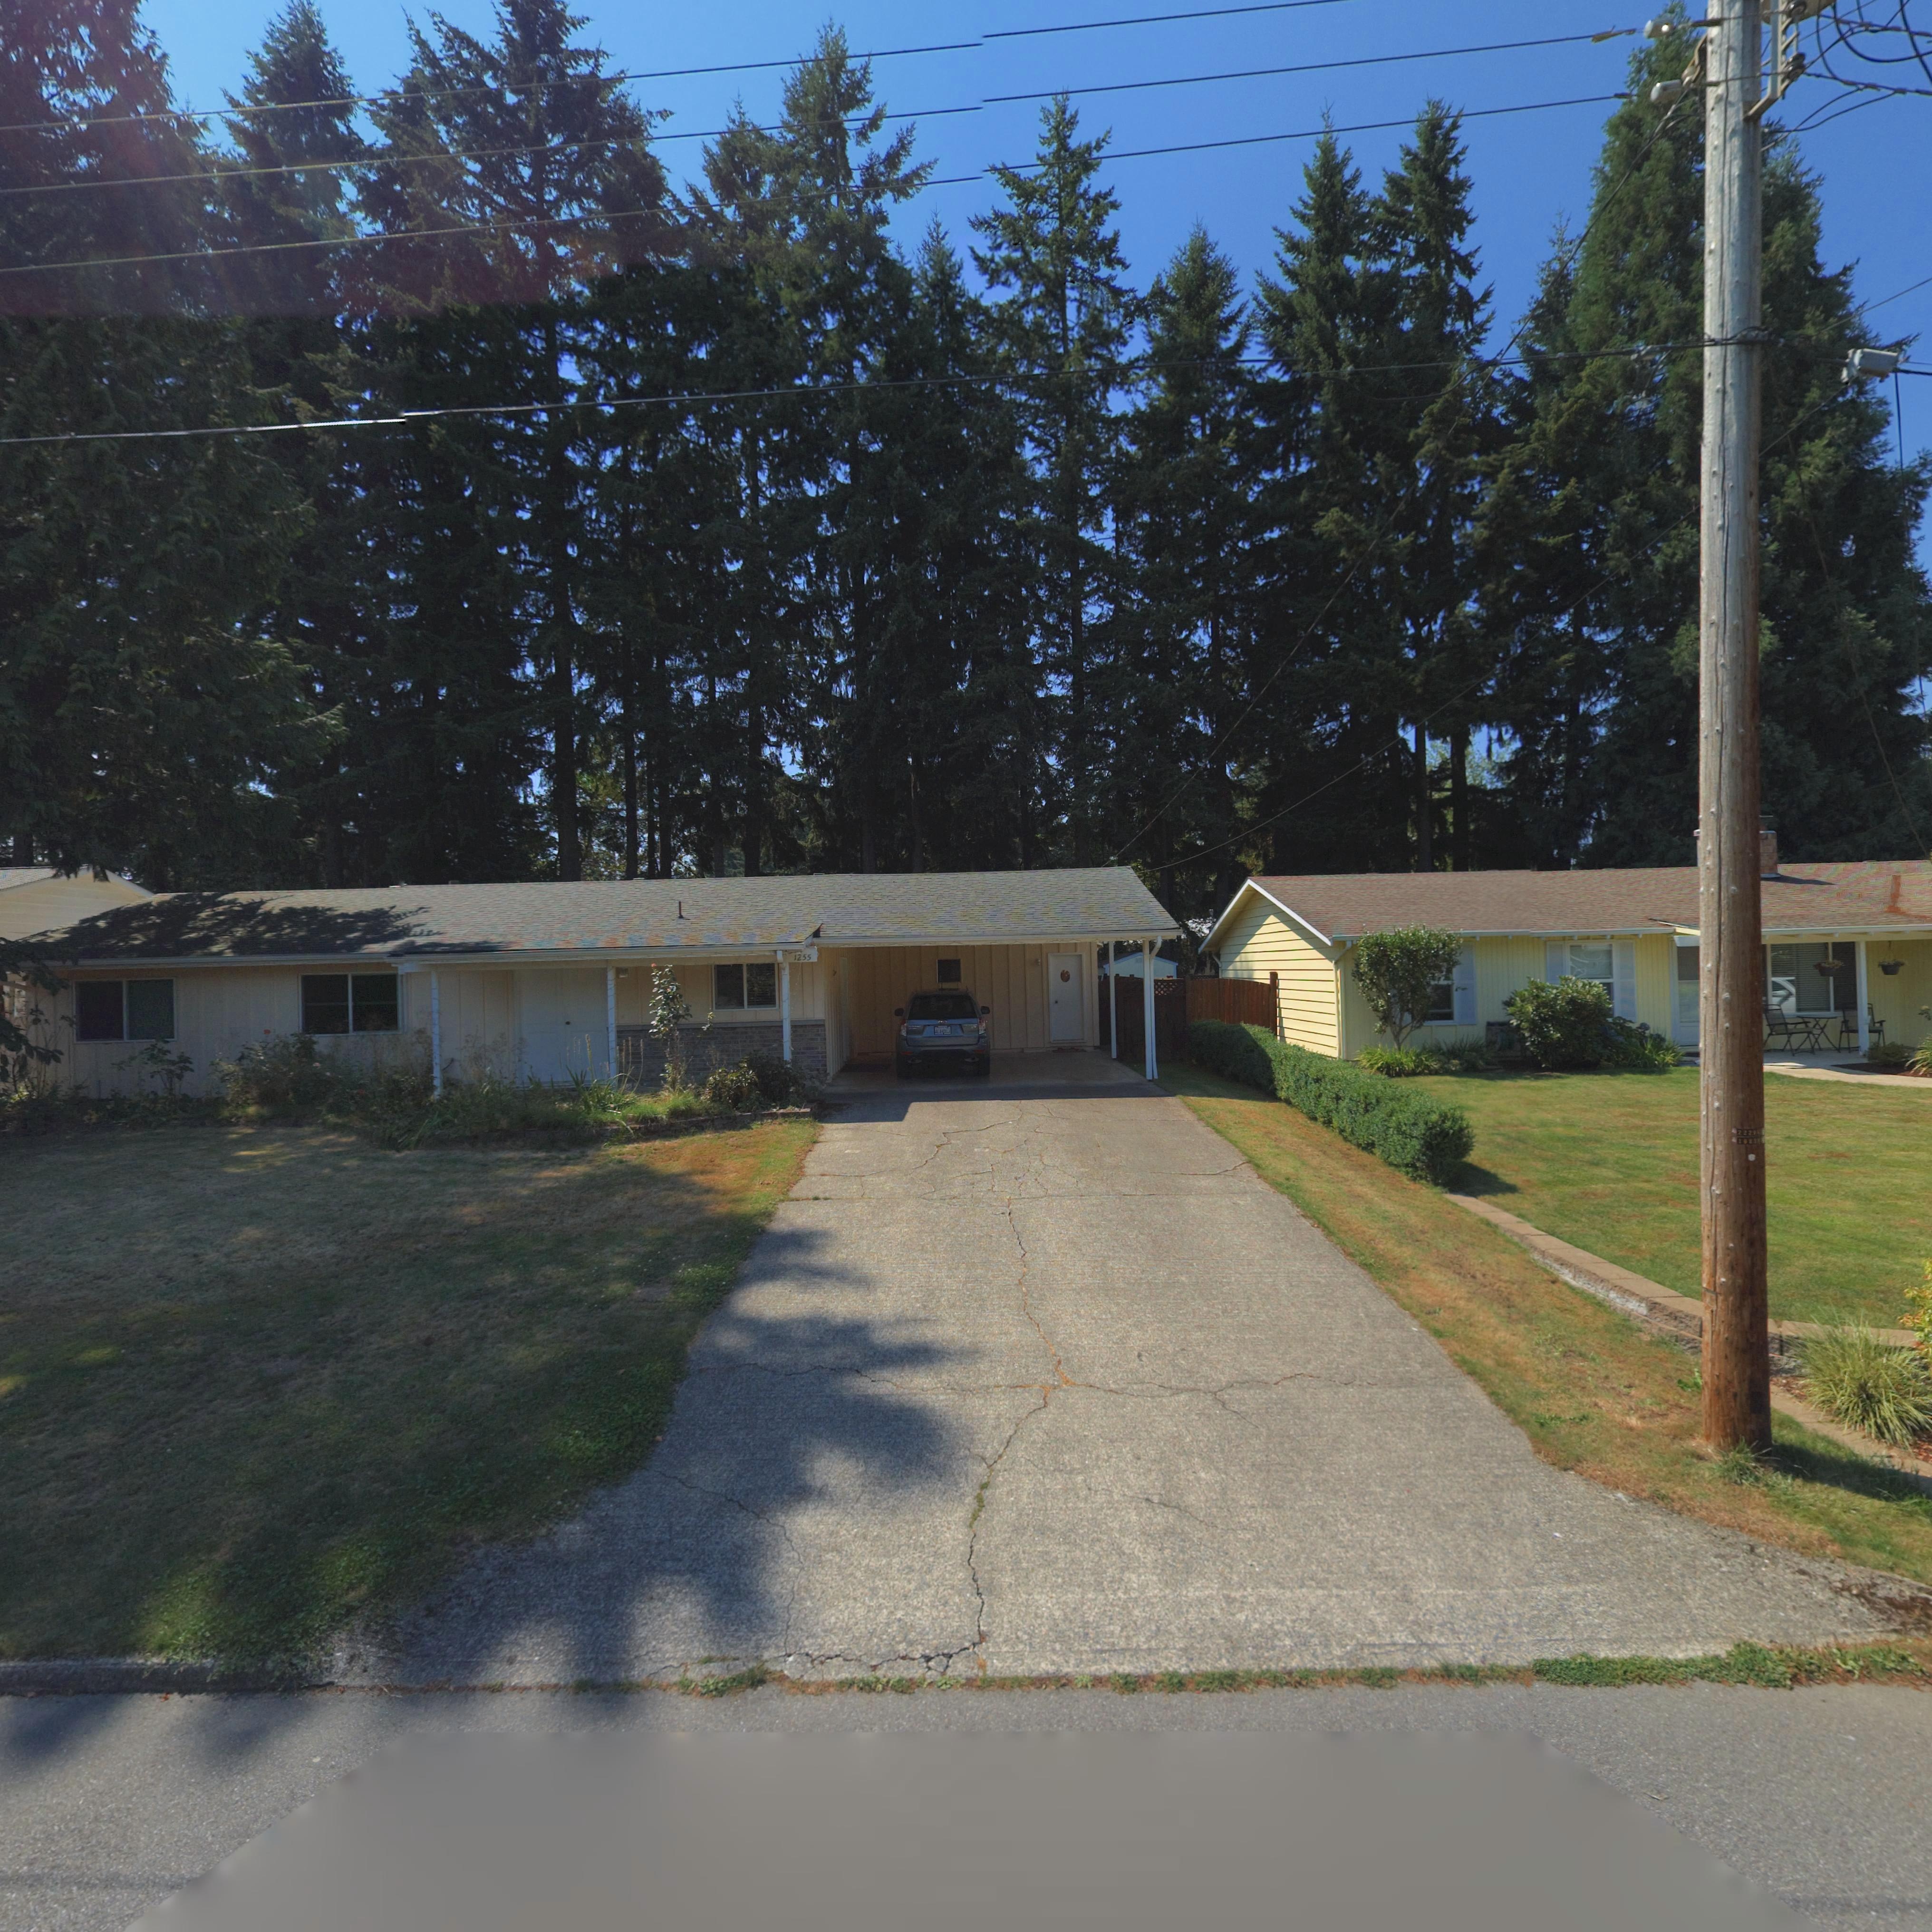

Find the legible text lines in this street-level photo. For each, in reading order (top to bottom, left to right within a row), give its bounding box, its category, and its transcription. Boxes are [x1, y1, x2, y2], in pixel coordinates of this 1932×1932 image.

[793, 953, 811, 961] StreetNumber: 1255